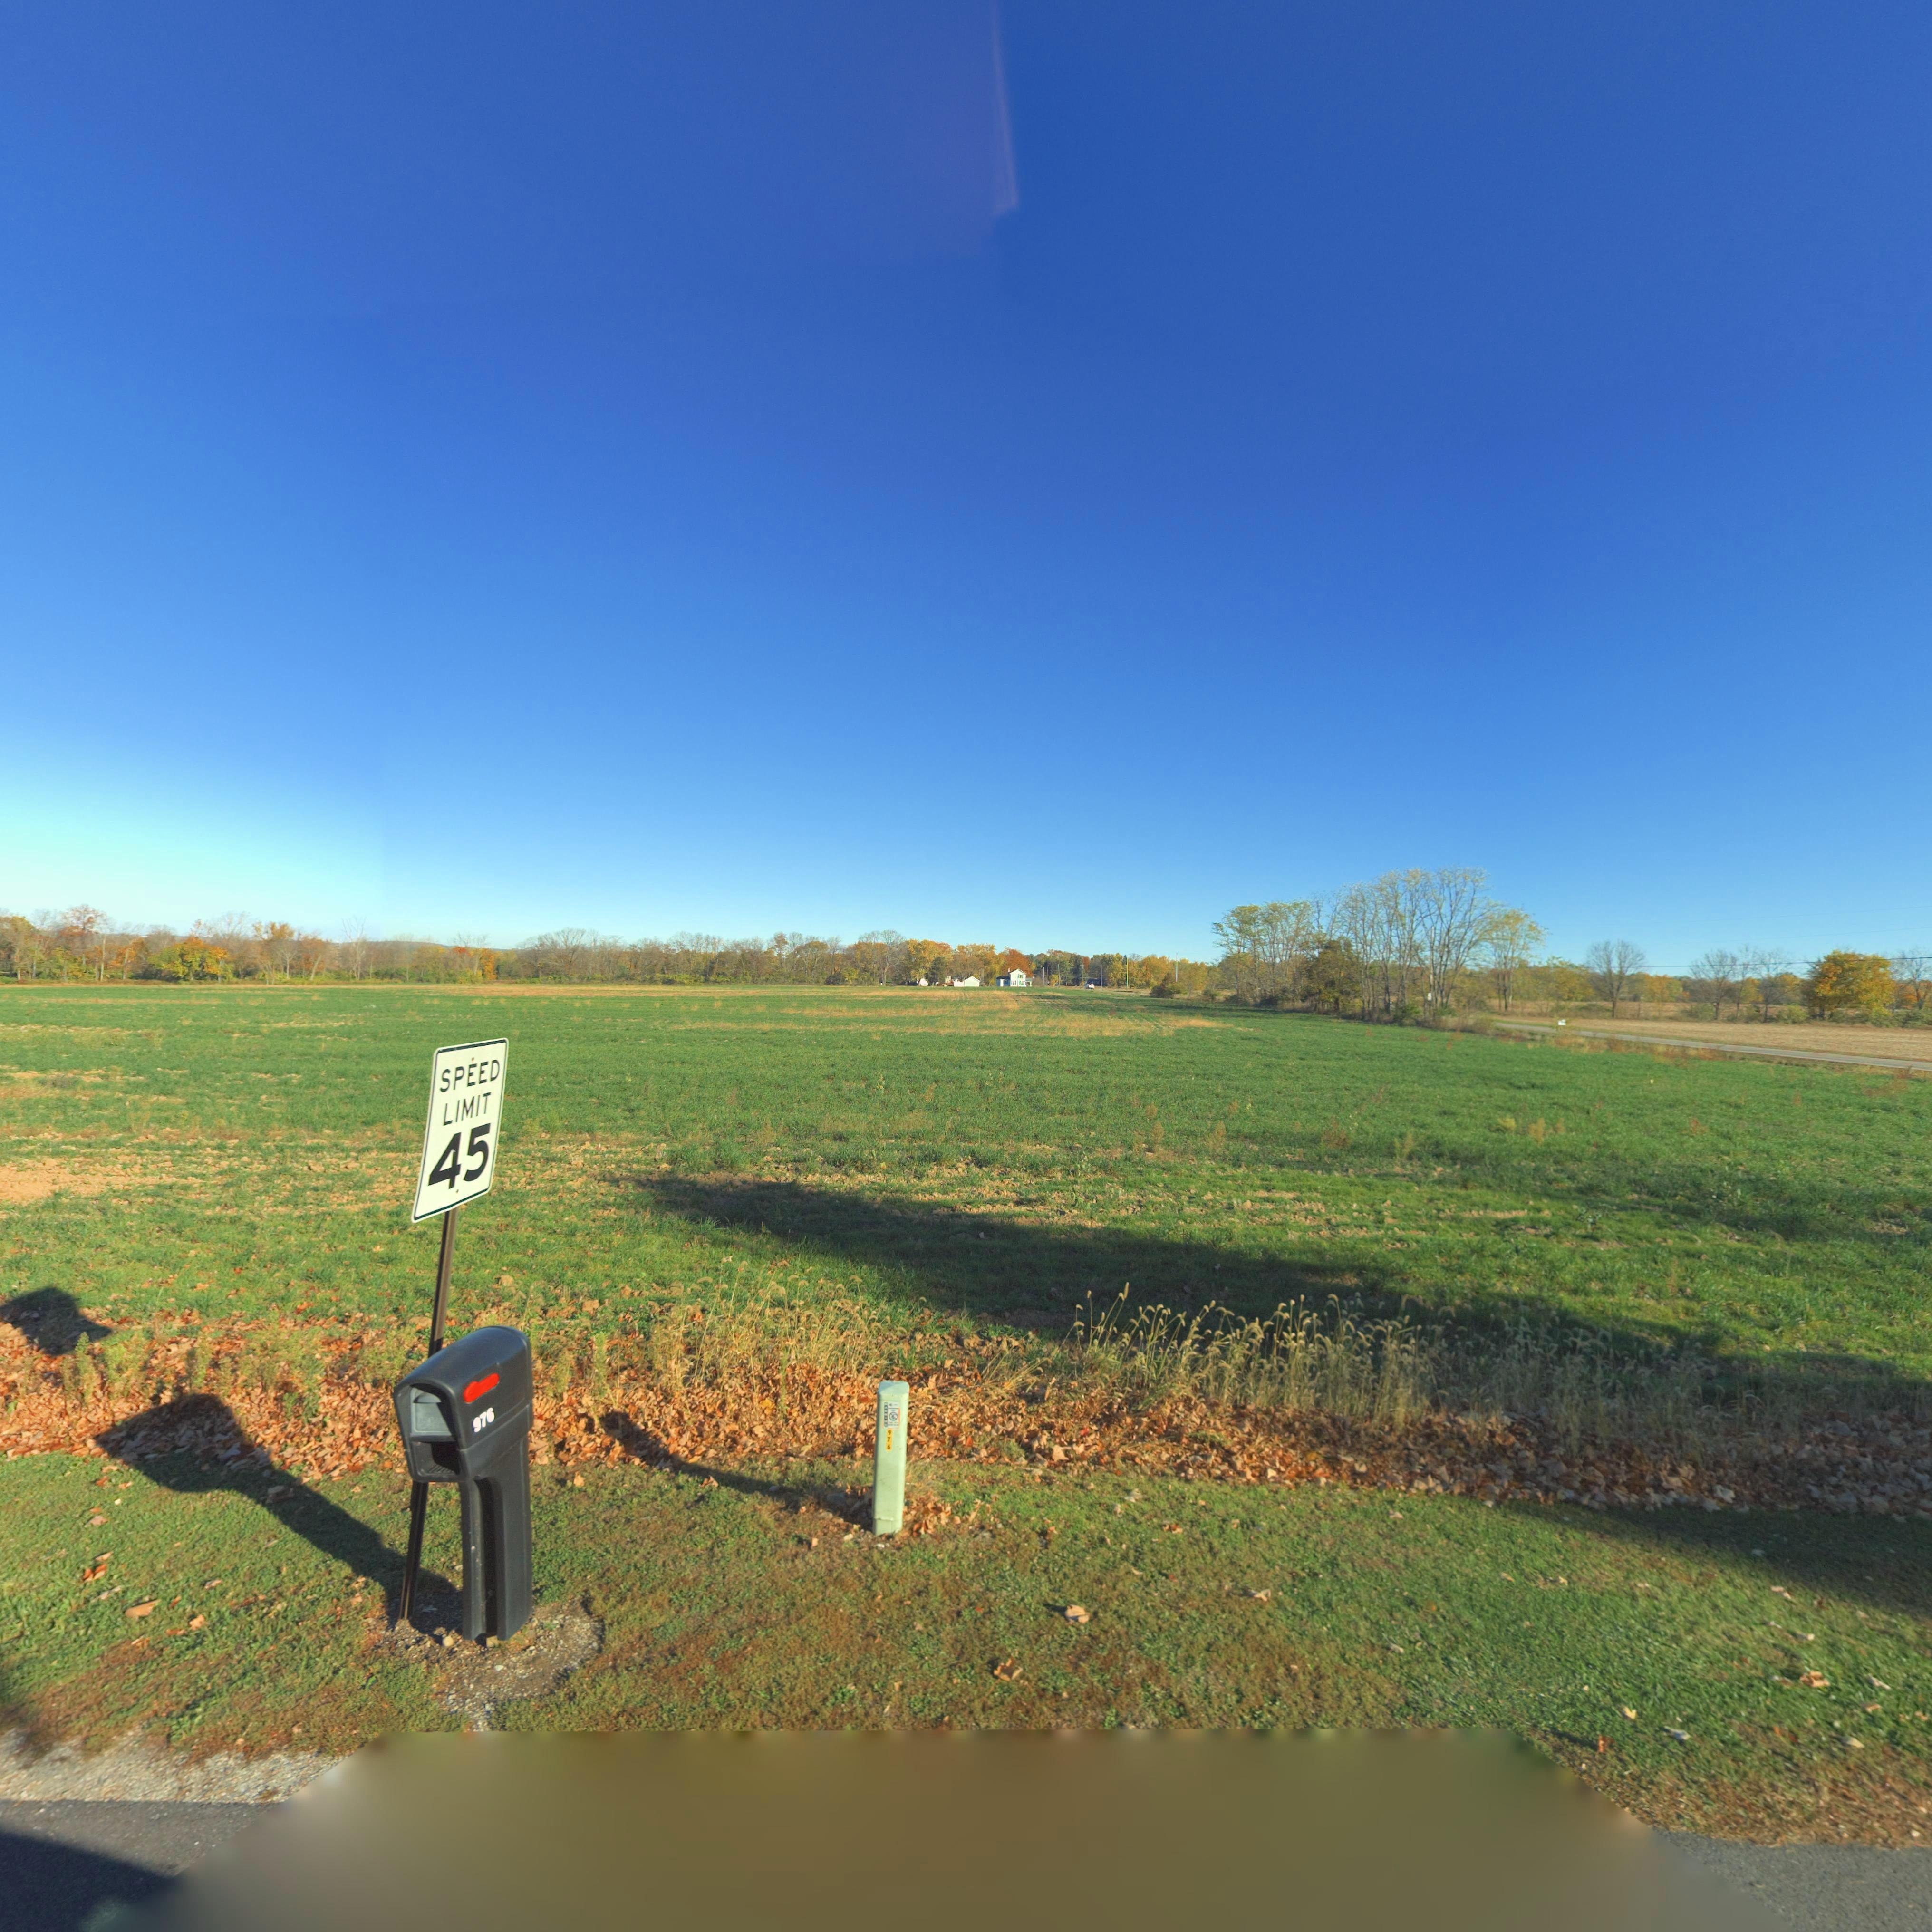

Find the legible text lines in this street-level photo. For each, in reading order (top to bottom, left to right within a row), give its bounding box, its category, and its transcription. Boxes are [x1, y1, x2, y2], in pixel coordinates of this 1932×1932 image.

[436, 1057, 503, 1097] None: SPEED
[439, 1089, 493, 1128] None: LIMIT
[425, 1119, 494, 1194] None: 45
[471, 1405, 495, 1435] StreetNumber: 976